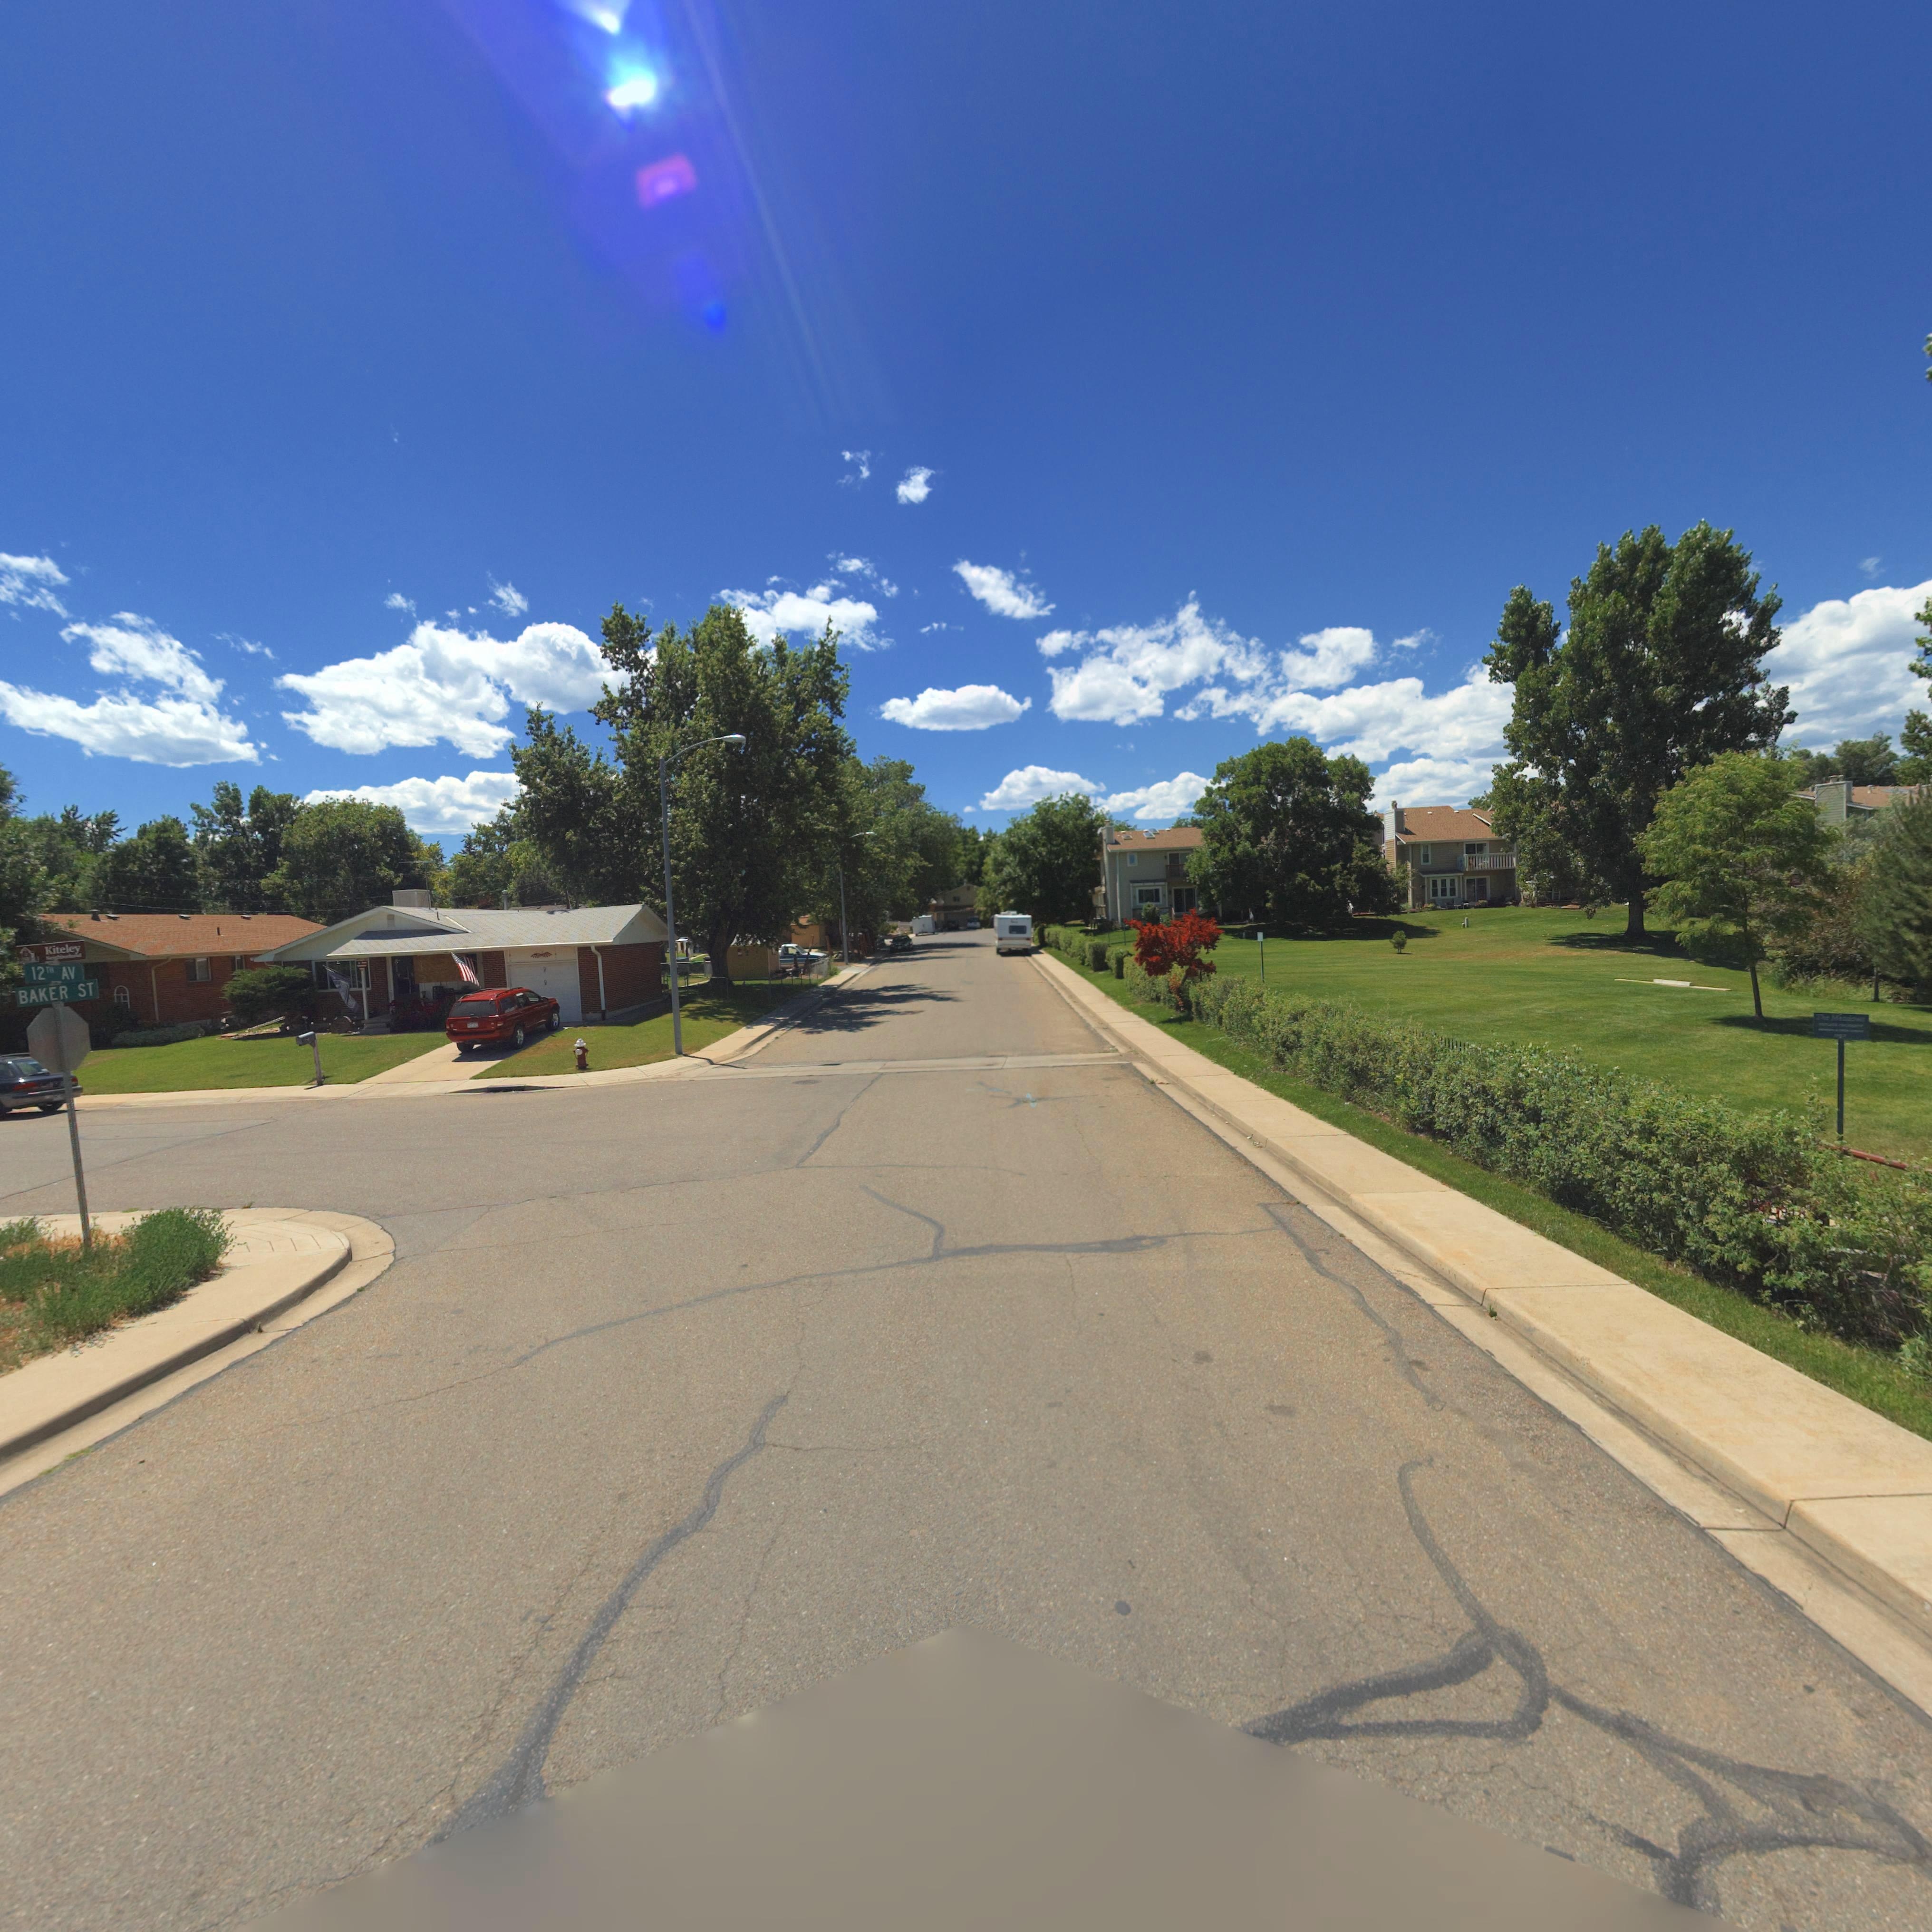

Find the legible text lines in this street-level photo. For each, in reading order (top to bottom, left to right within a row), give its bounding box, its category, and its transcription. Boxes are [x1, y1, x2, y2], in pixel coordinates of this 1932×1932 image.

[31, 965, 76, 980] StreetName: 12TH AV
[18, 981, 94, 1004] StreetName: BAKER ST